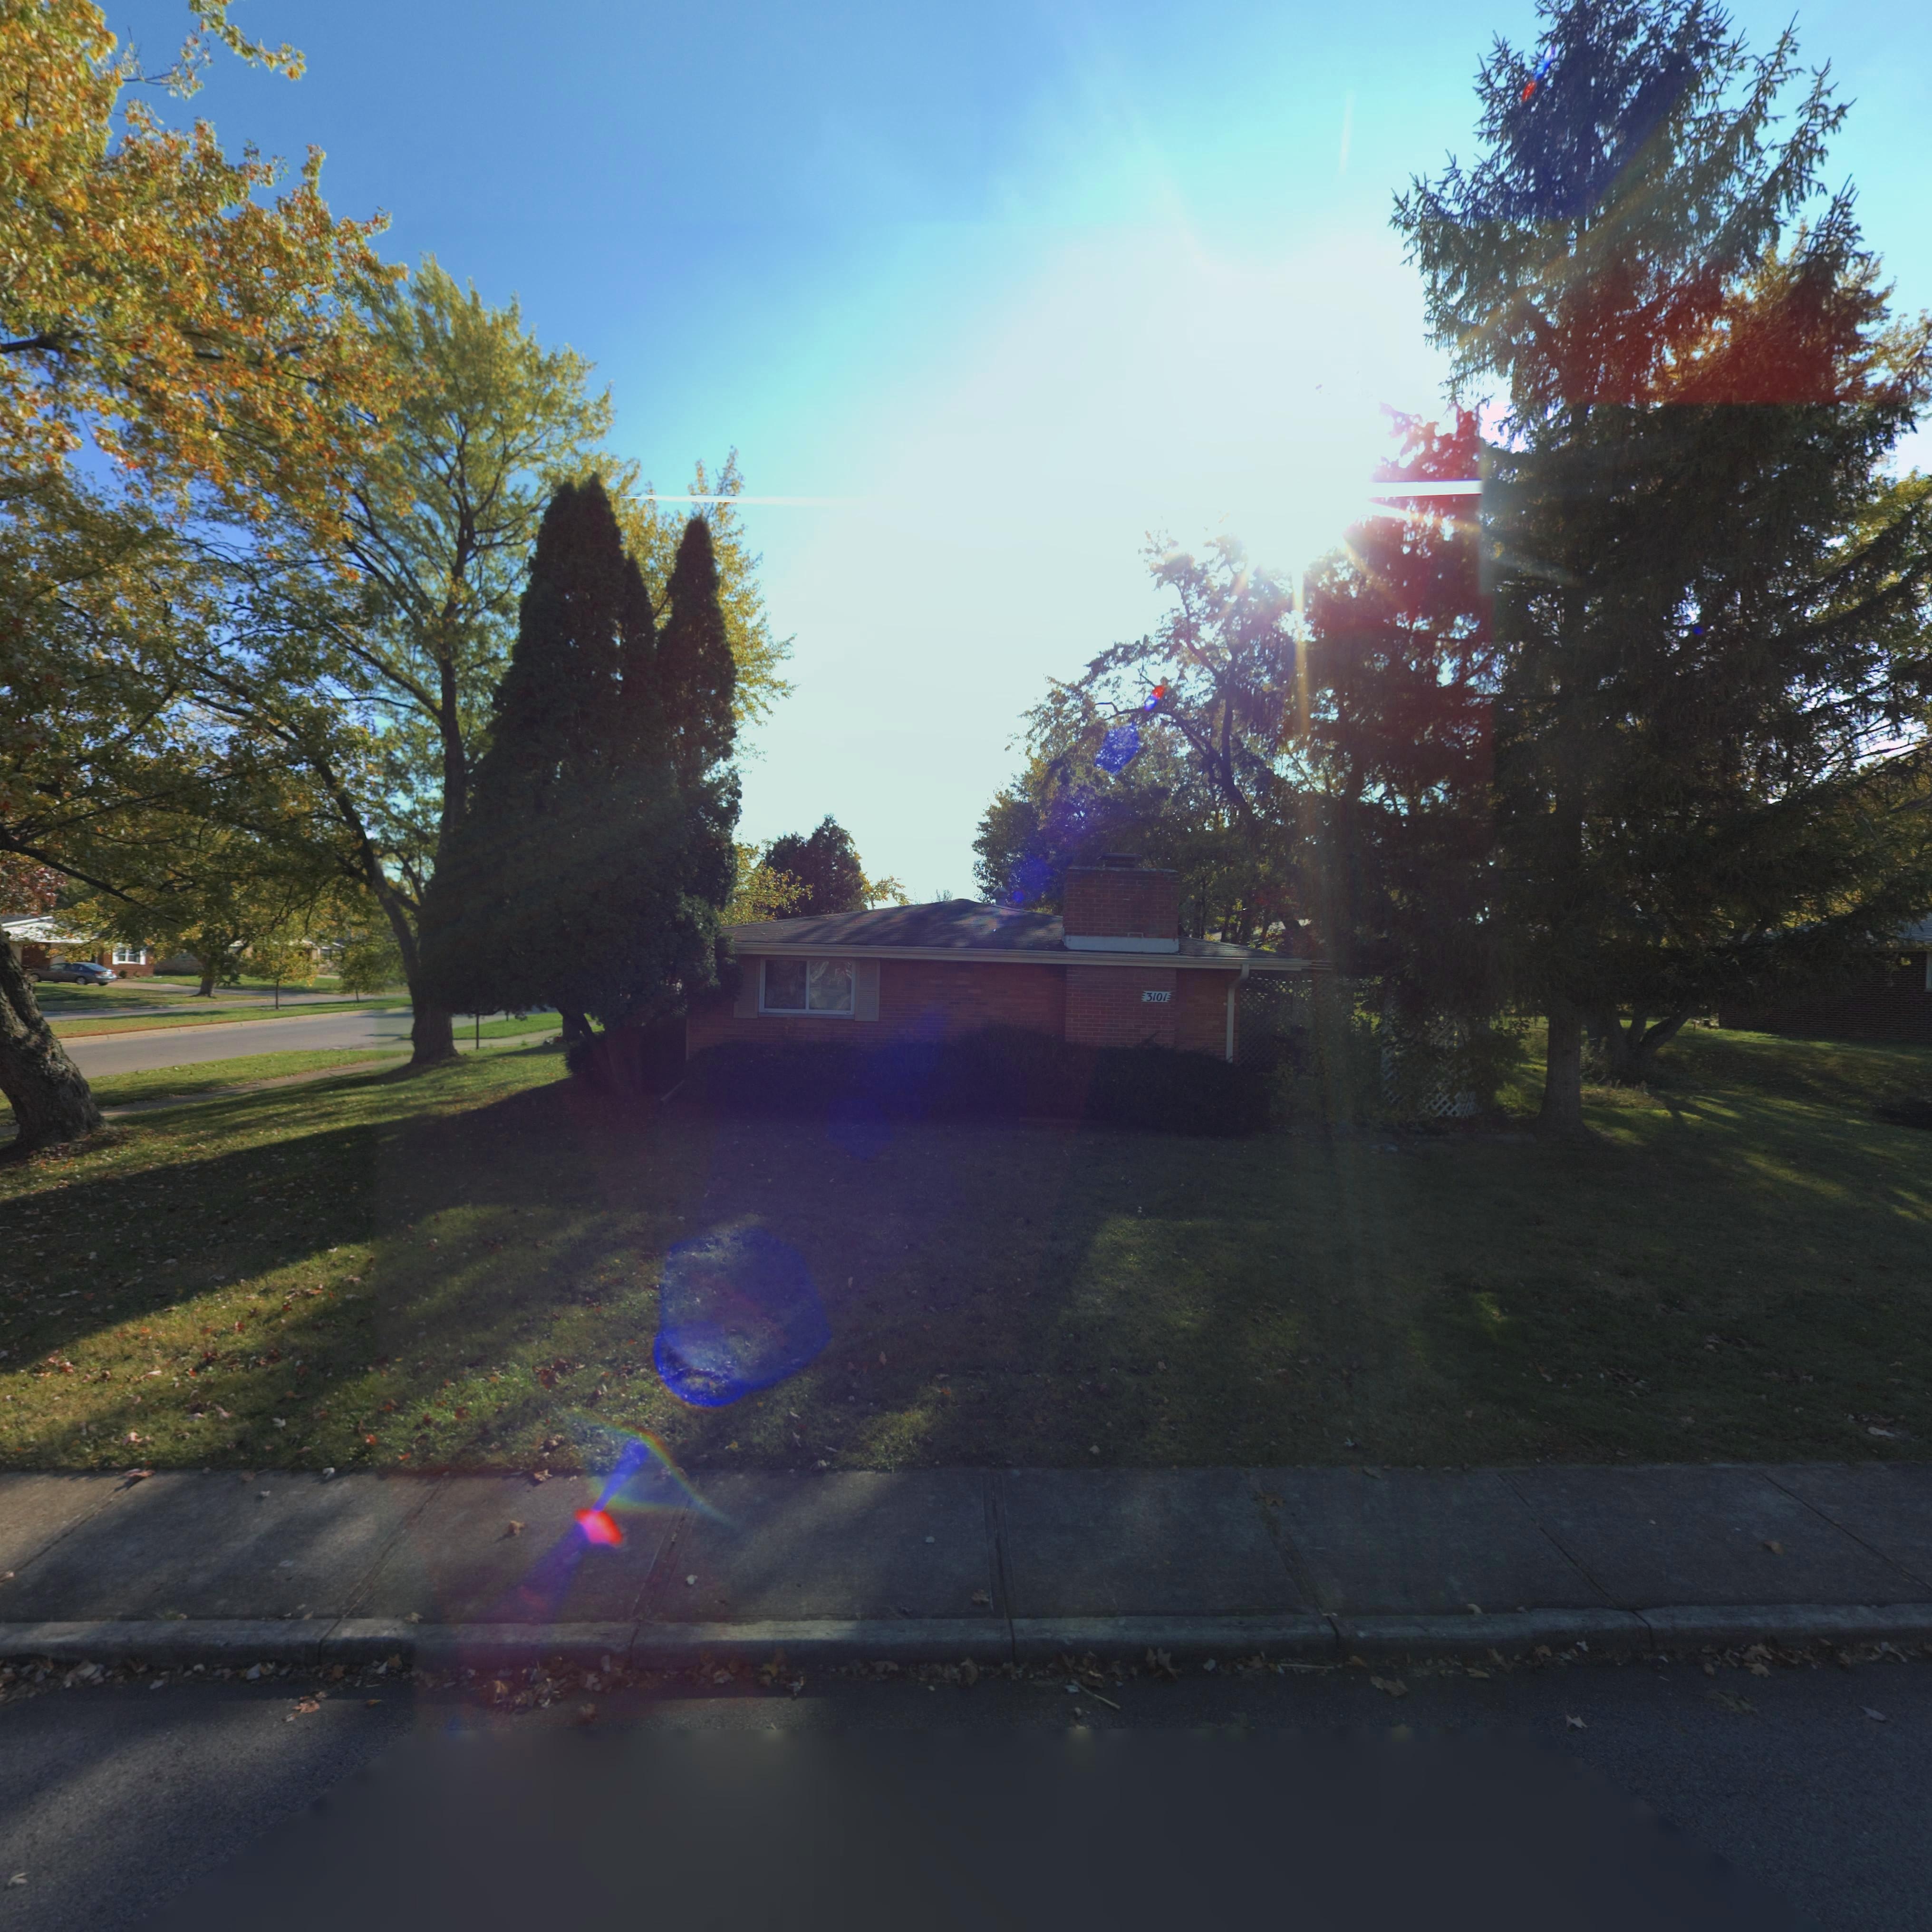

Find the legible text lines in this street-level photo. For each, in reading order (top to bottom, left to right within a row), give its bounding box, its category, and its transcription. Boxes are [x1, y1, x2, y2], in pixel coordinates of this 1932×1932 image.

[1145, 992, 1169, 1002] StreetNumber: 3101